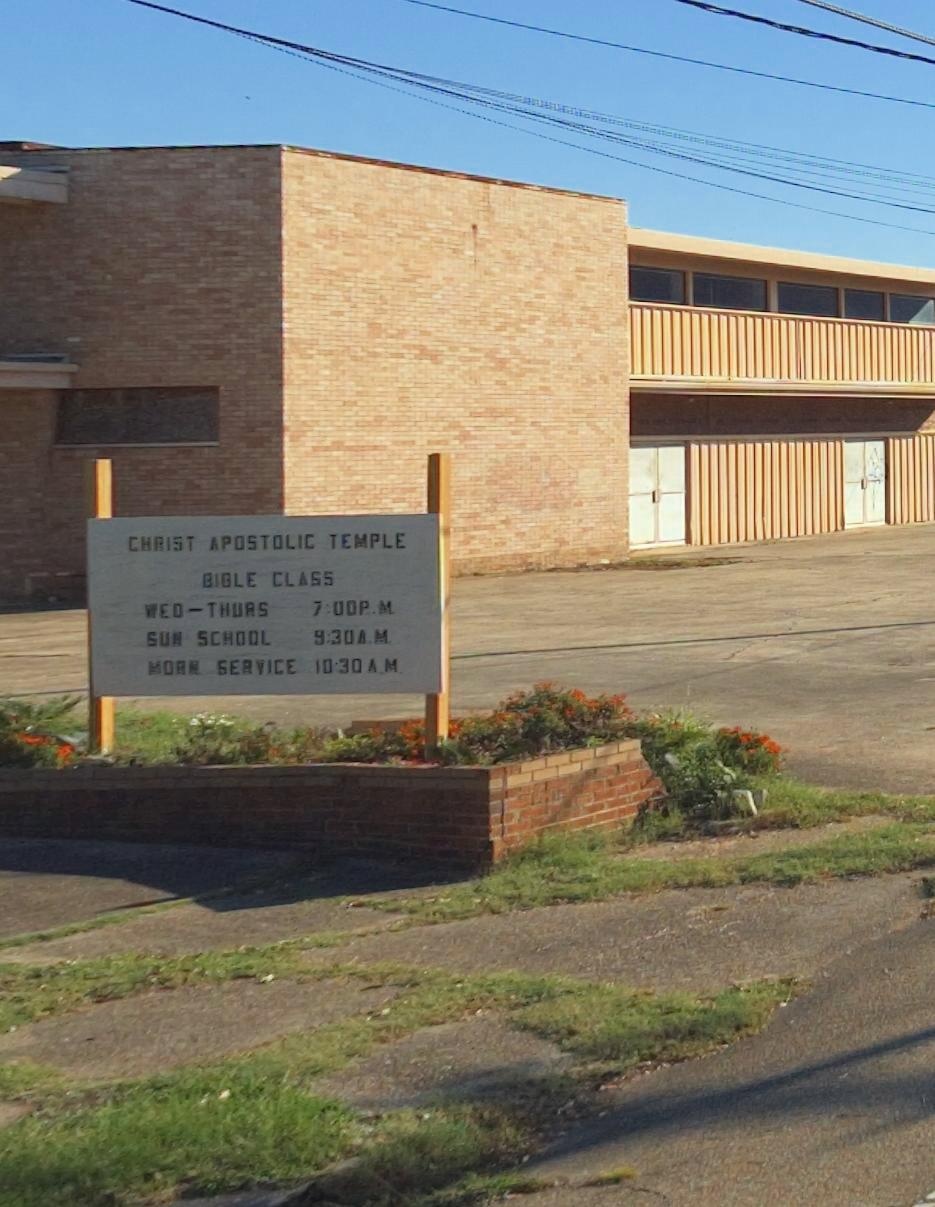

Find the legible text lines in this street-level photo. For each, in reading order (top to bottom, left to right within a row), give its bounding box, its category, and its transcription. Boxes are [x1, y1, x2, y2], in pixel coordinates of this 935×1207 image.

[127, 531, 408, 554] BusinessName: CHRIST APOSTOLIC TEMPLE
[200, 568, 336, 590] None: BIBLE CLASS
[141, 596, 398, 621] None: WED-THURS 7:00P.M.
[143, 626, 394, 649] None: SUN SCHOOL 9:30A.M.
[145, 656, 404, 678] None: MORN SERVICE 10:30A.M.